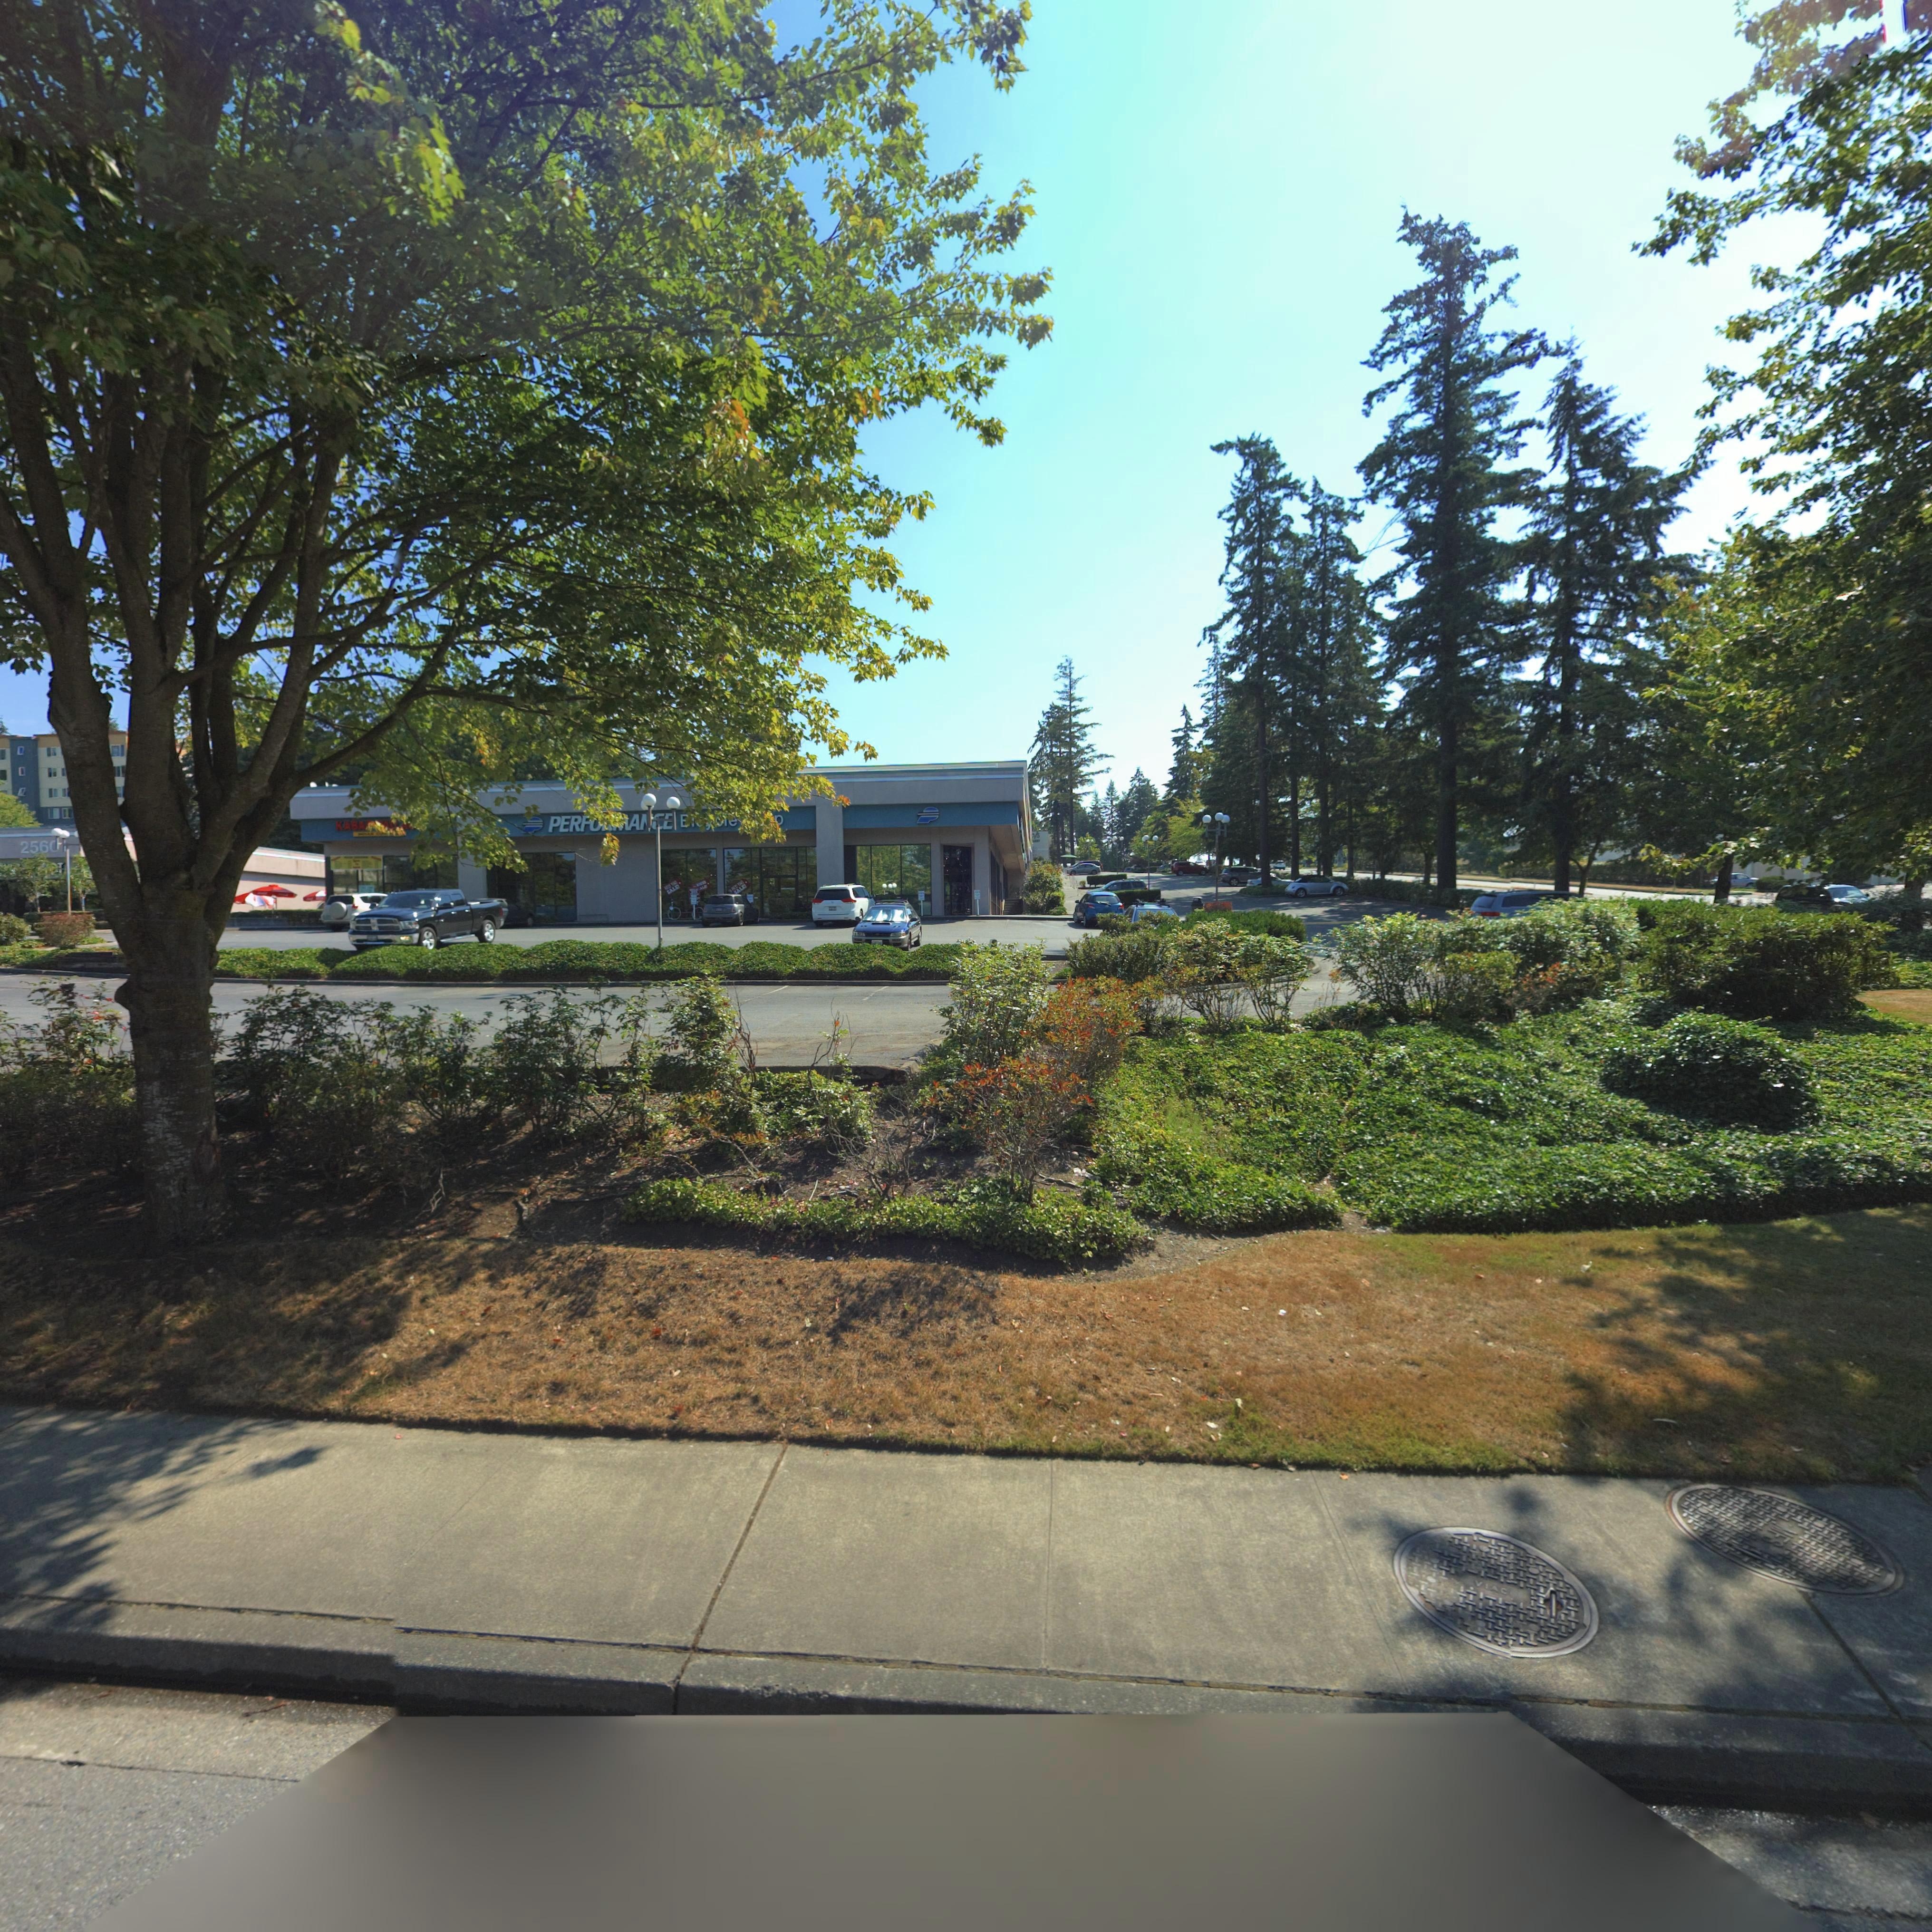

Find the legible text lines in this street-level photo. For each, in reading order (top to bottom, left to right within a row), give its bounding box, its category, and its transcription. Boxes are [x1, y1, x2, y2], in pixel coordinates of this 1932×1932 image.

[19, 836, 59, 856] StreetNumber: 2560